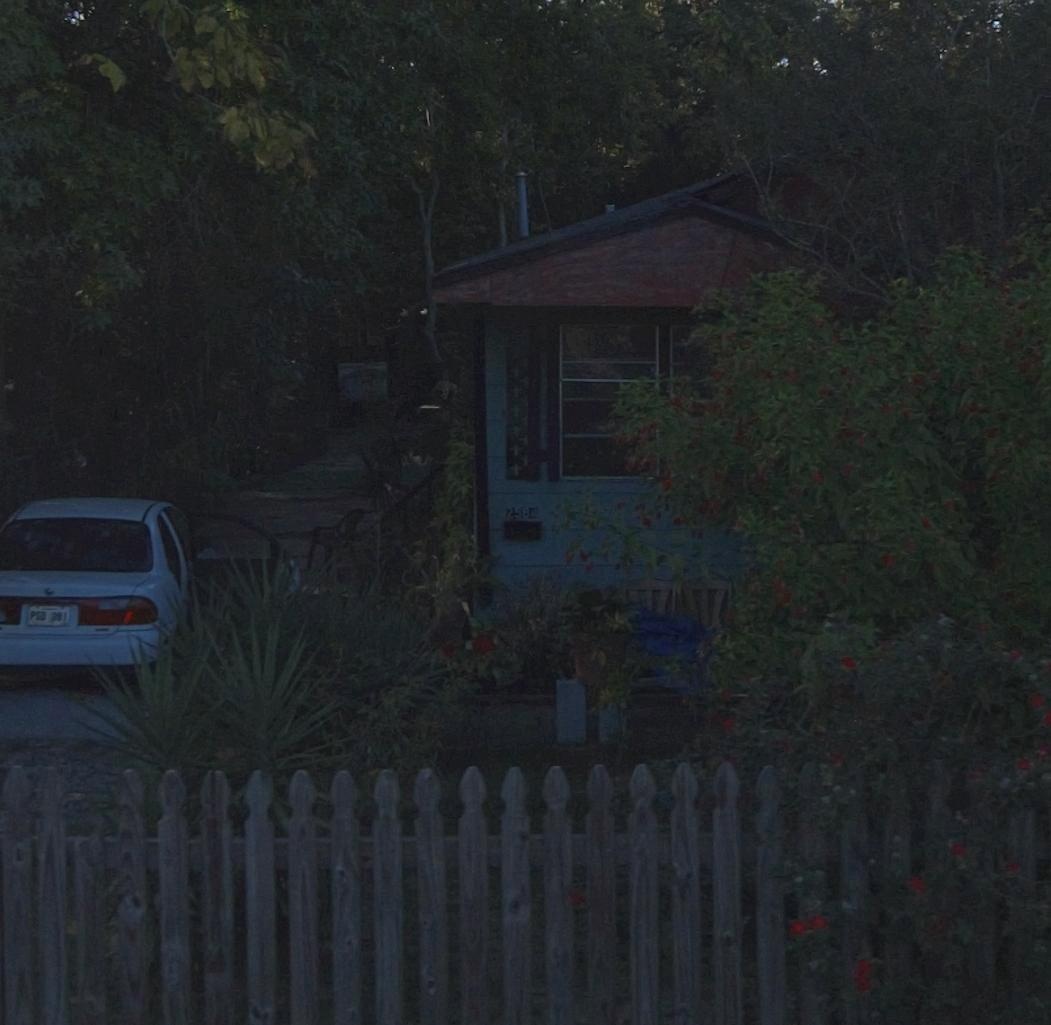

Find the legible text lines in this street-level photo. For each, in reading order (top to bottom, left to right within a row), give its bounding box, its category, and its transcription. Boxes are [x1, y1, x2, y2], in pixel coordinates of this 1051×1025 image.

[506, 507, 539, 519] StreetNumber: 2584
[28, 609, 69, 624] None: P*D**91